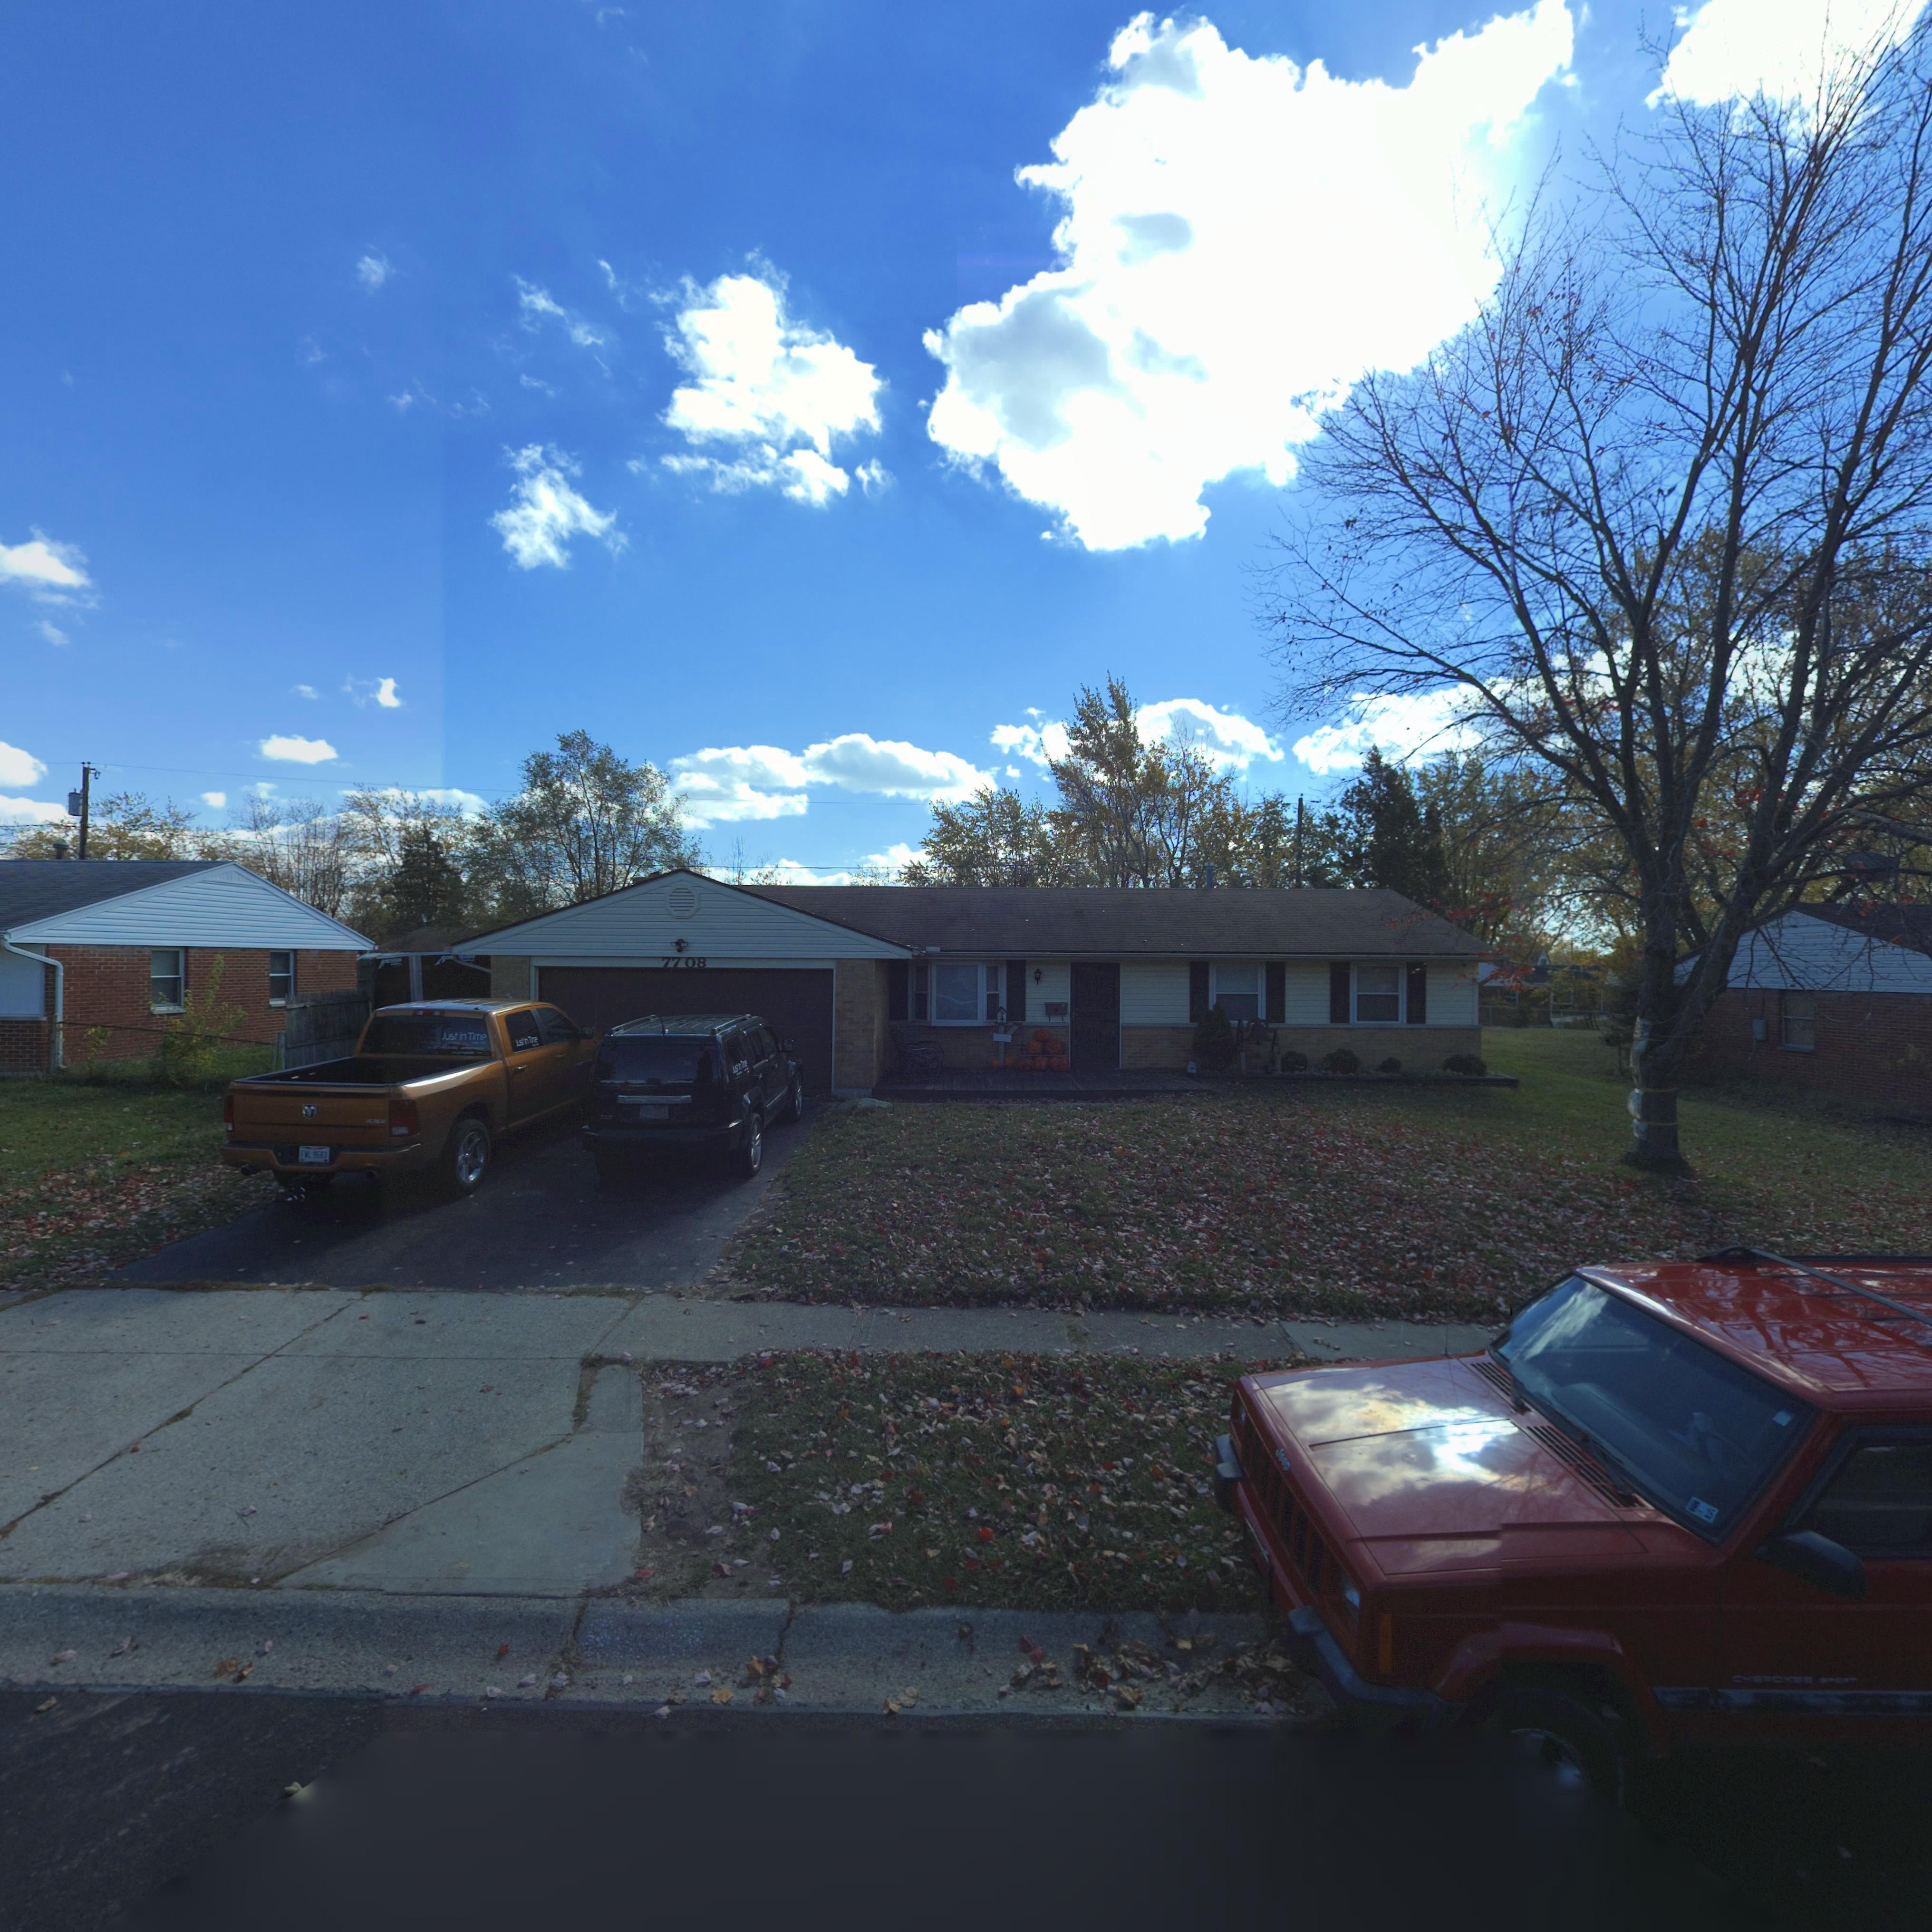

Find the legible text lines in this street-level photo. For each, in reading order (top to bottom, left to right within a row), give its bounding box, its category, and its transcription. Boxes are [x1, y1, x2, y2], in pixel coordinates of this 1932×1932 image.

[661, 956, 706, 968] StreetNumber: 7708